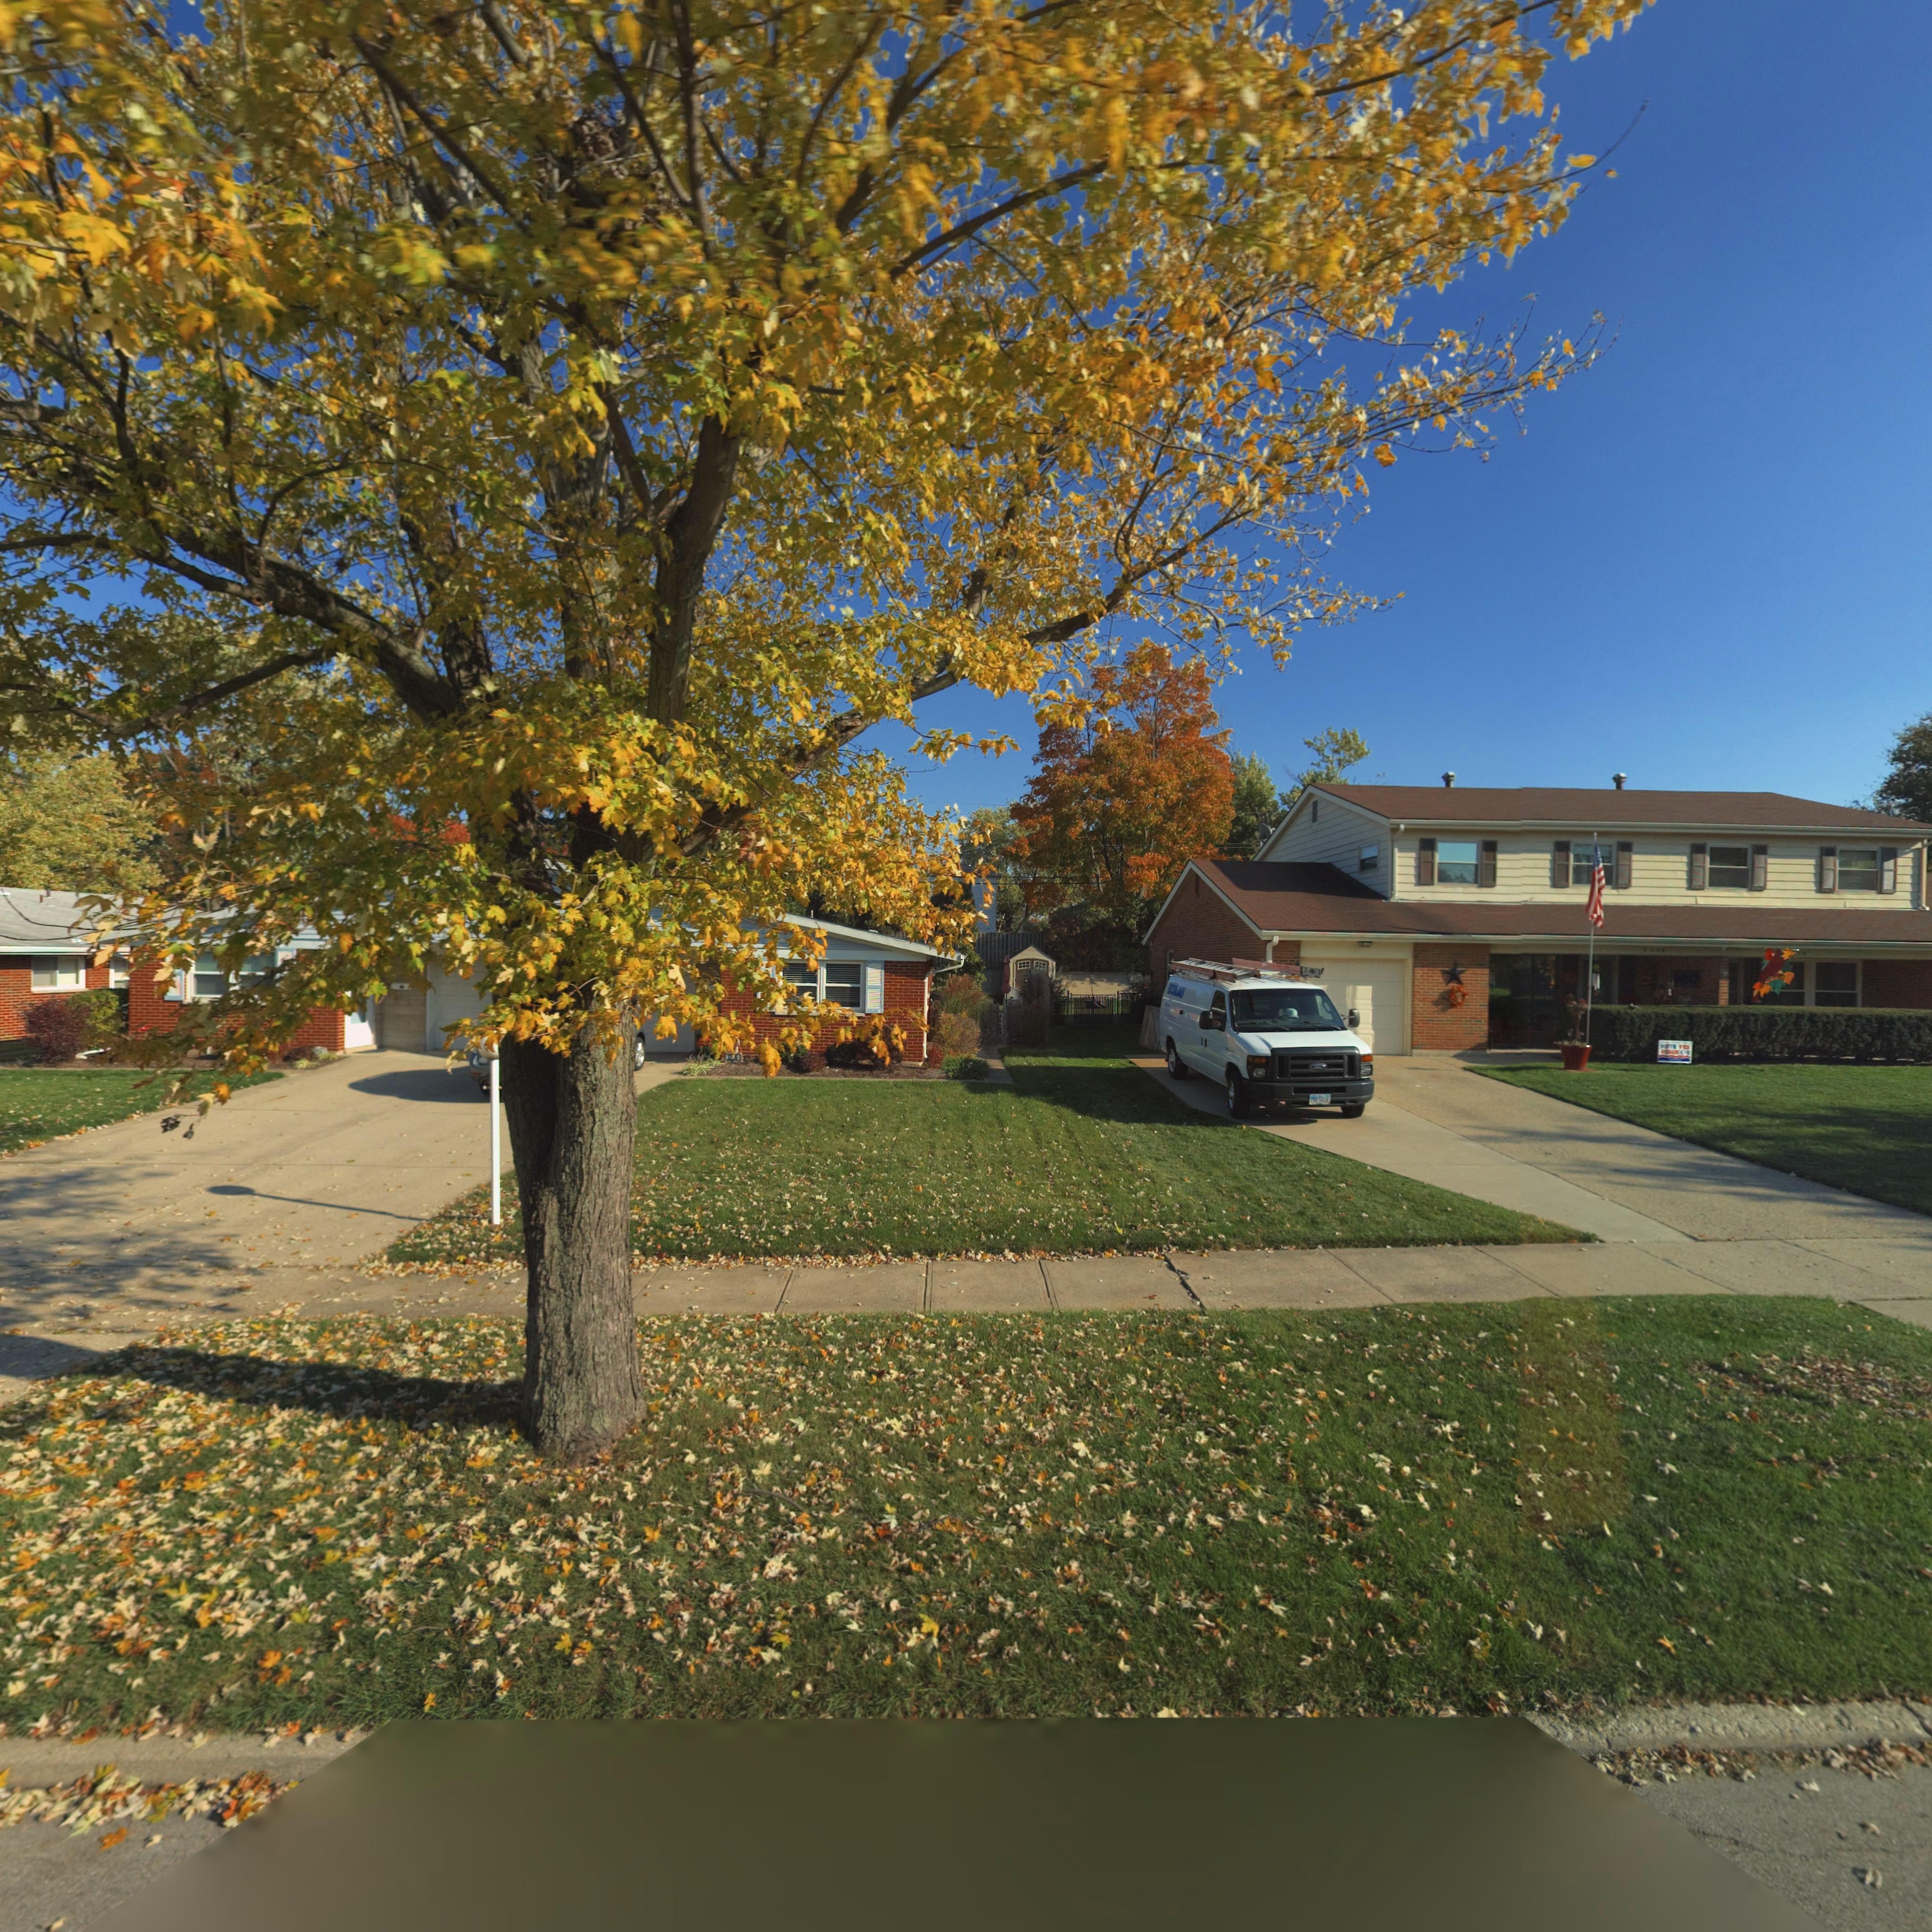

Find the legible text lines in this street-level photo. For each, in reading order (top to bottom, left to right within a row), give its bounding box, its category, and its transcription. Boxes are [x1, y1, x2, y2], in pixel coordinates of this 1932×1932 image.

[1642, 947, 1666, 952] StreetNumber: 3208
[1797, 949, 1806, 956] StreetNumber: 10